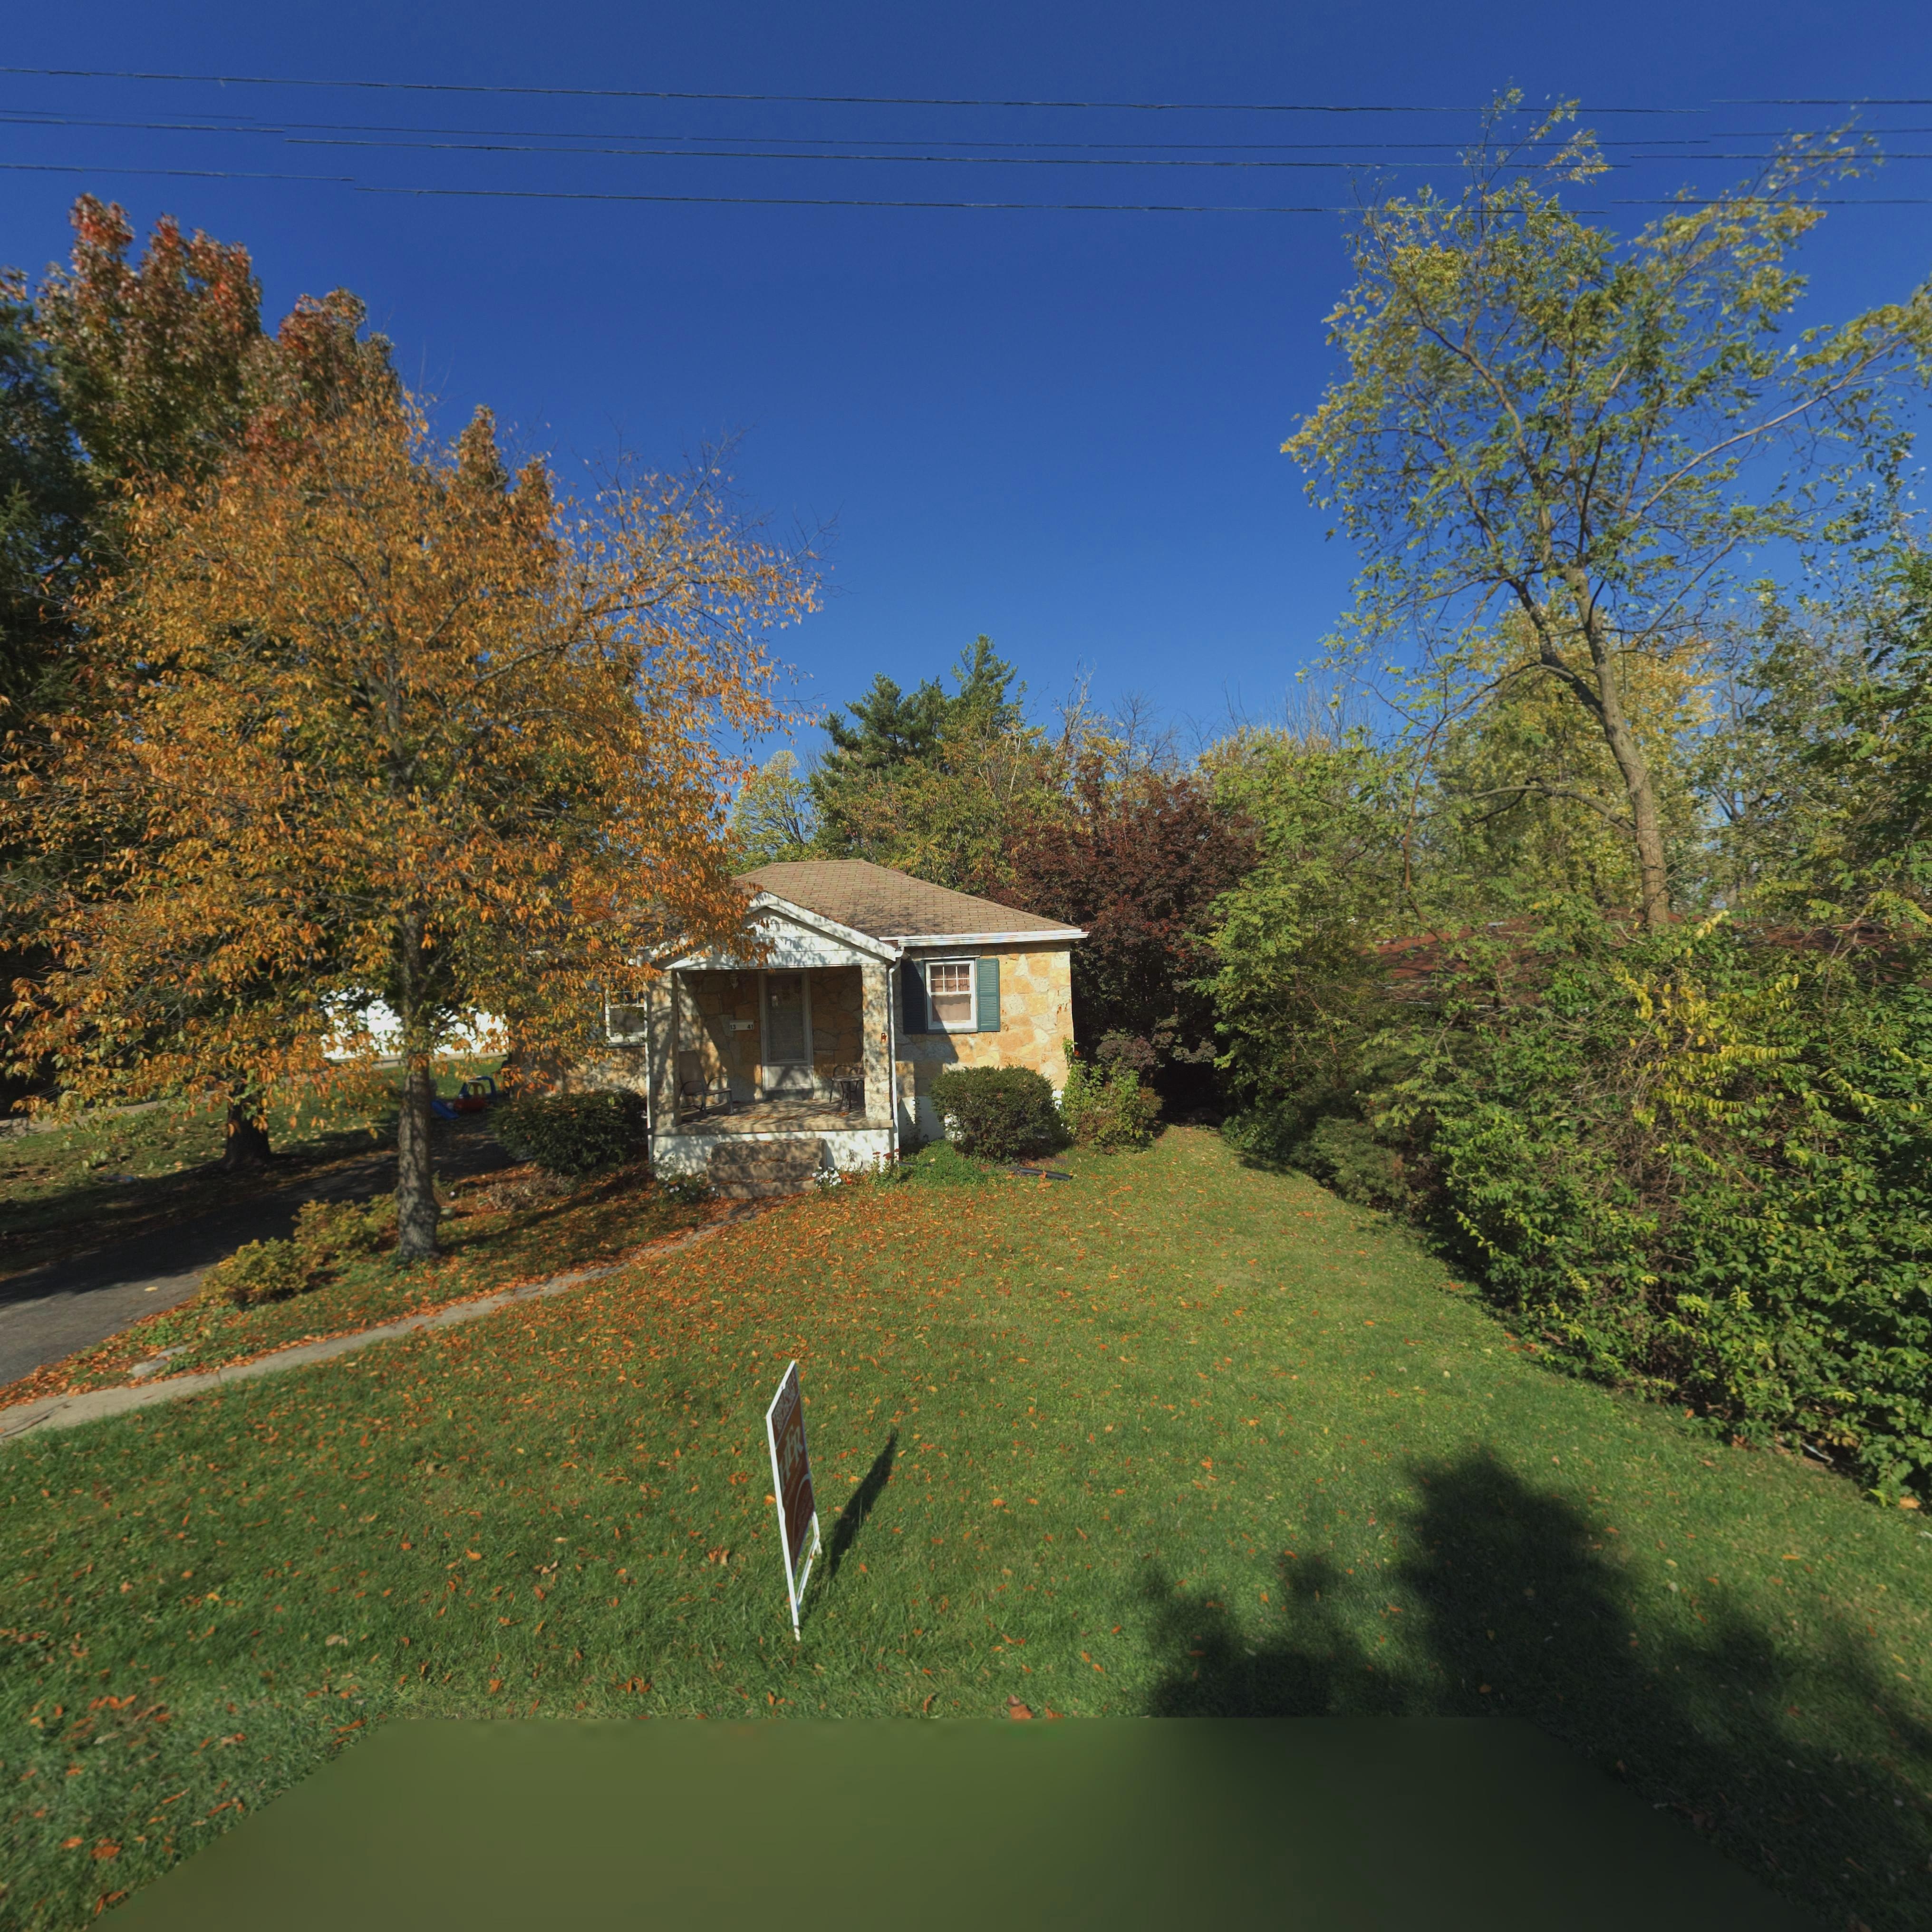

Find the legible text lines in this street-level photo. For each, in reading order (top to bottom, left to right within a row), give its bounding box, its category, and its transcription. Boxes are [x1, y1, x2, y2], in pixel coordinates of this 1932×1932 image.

[729, 1023, 754, 1031] StreetNumber: 13 41
[776, 1420, 807, 1499] None: HER